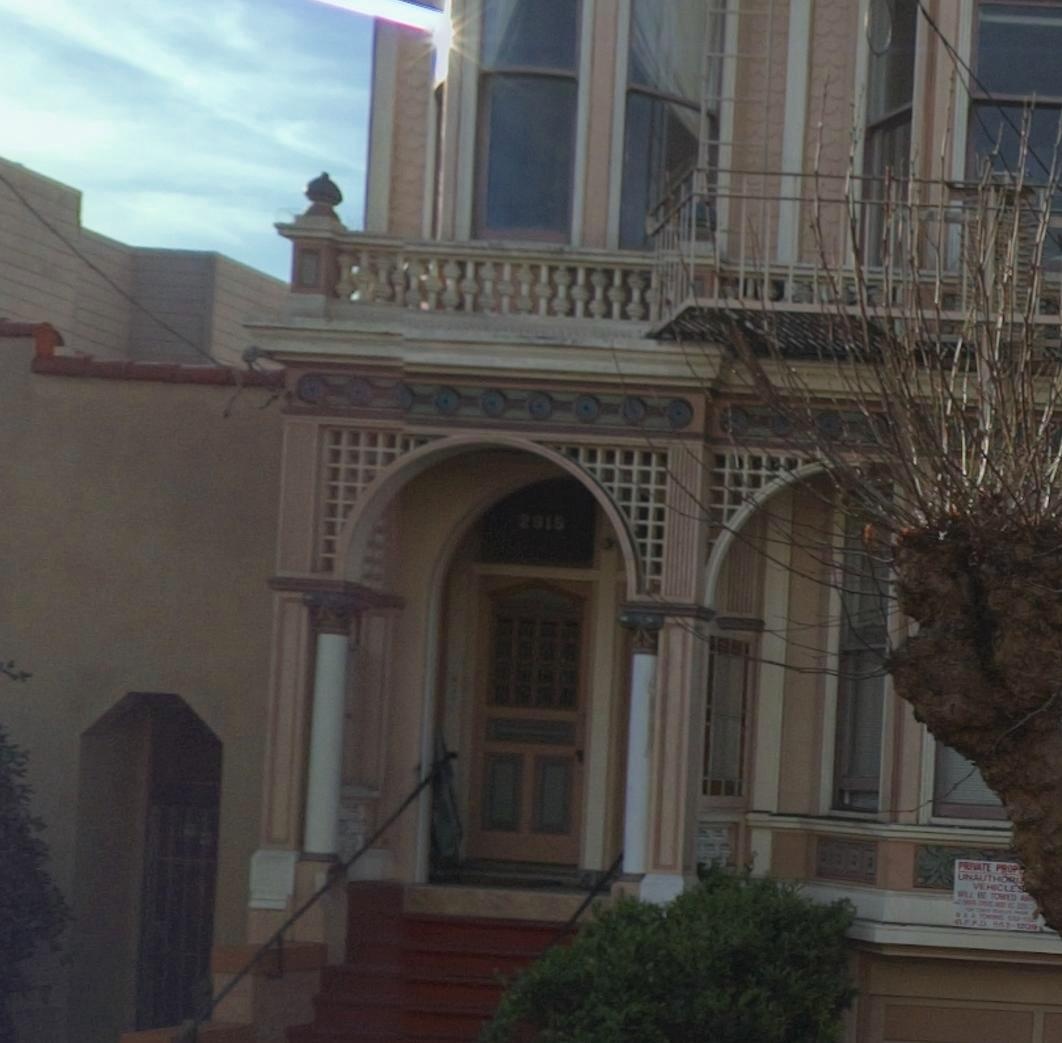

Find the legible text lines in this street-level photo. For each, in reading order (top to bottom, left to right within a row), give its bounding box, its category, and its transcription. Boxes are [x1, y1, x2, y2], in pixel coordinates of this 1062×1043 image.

[517, 510, 569, 533] StreetNumber: 2915
[956, 859, 1021, 875] None: PRIVATE PROP
[956, 870, 1019, 885] None: UNAUTHOR
[970, 880, 1018, 894] None: VEHICLE